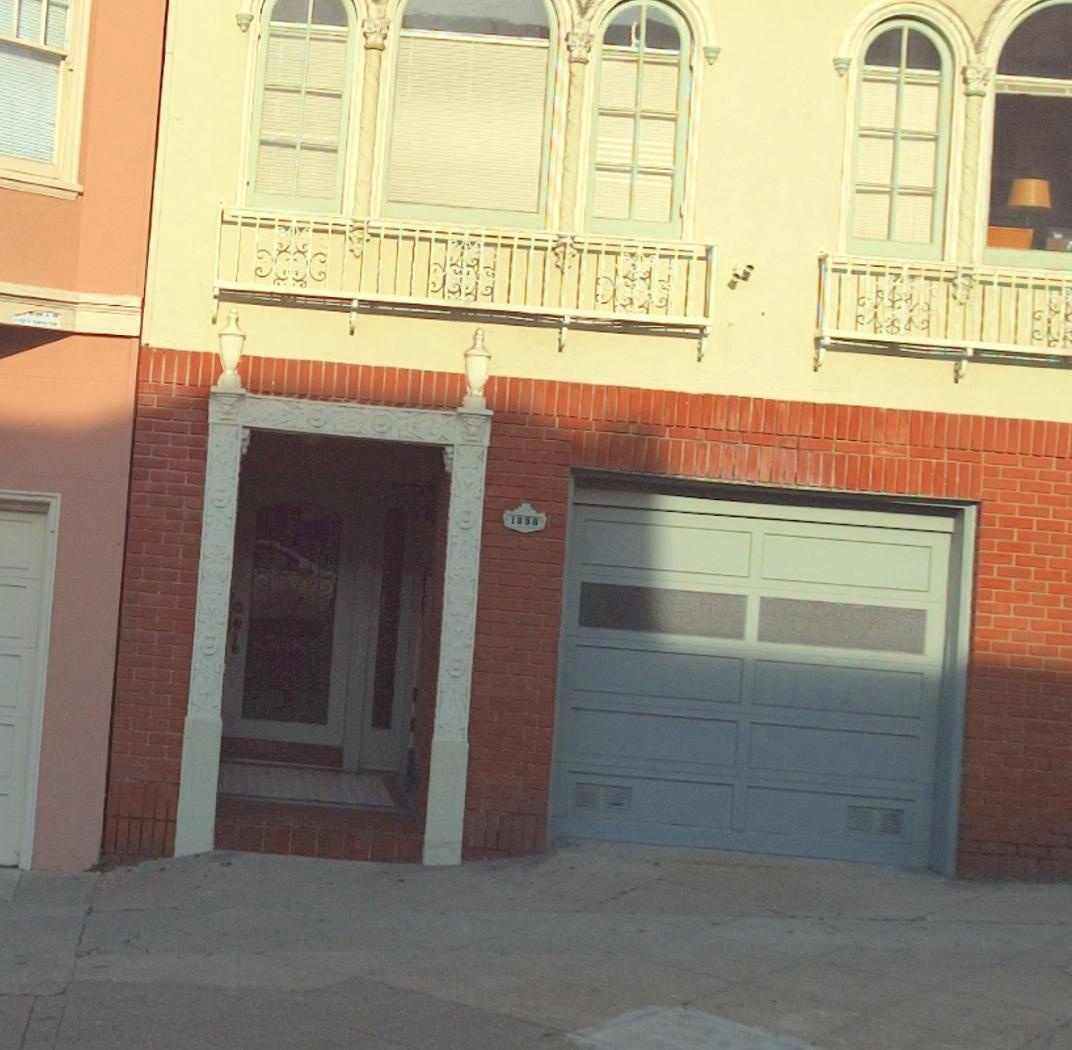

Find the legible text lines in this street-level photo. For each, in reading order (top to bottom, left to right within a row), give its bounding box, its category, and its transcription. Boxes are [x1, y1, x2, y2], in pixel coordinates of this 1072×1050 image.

[509, 513, 541, 527] StreetNumber: 1856